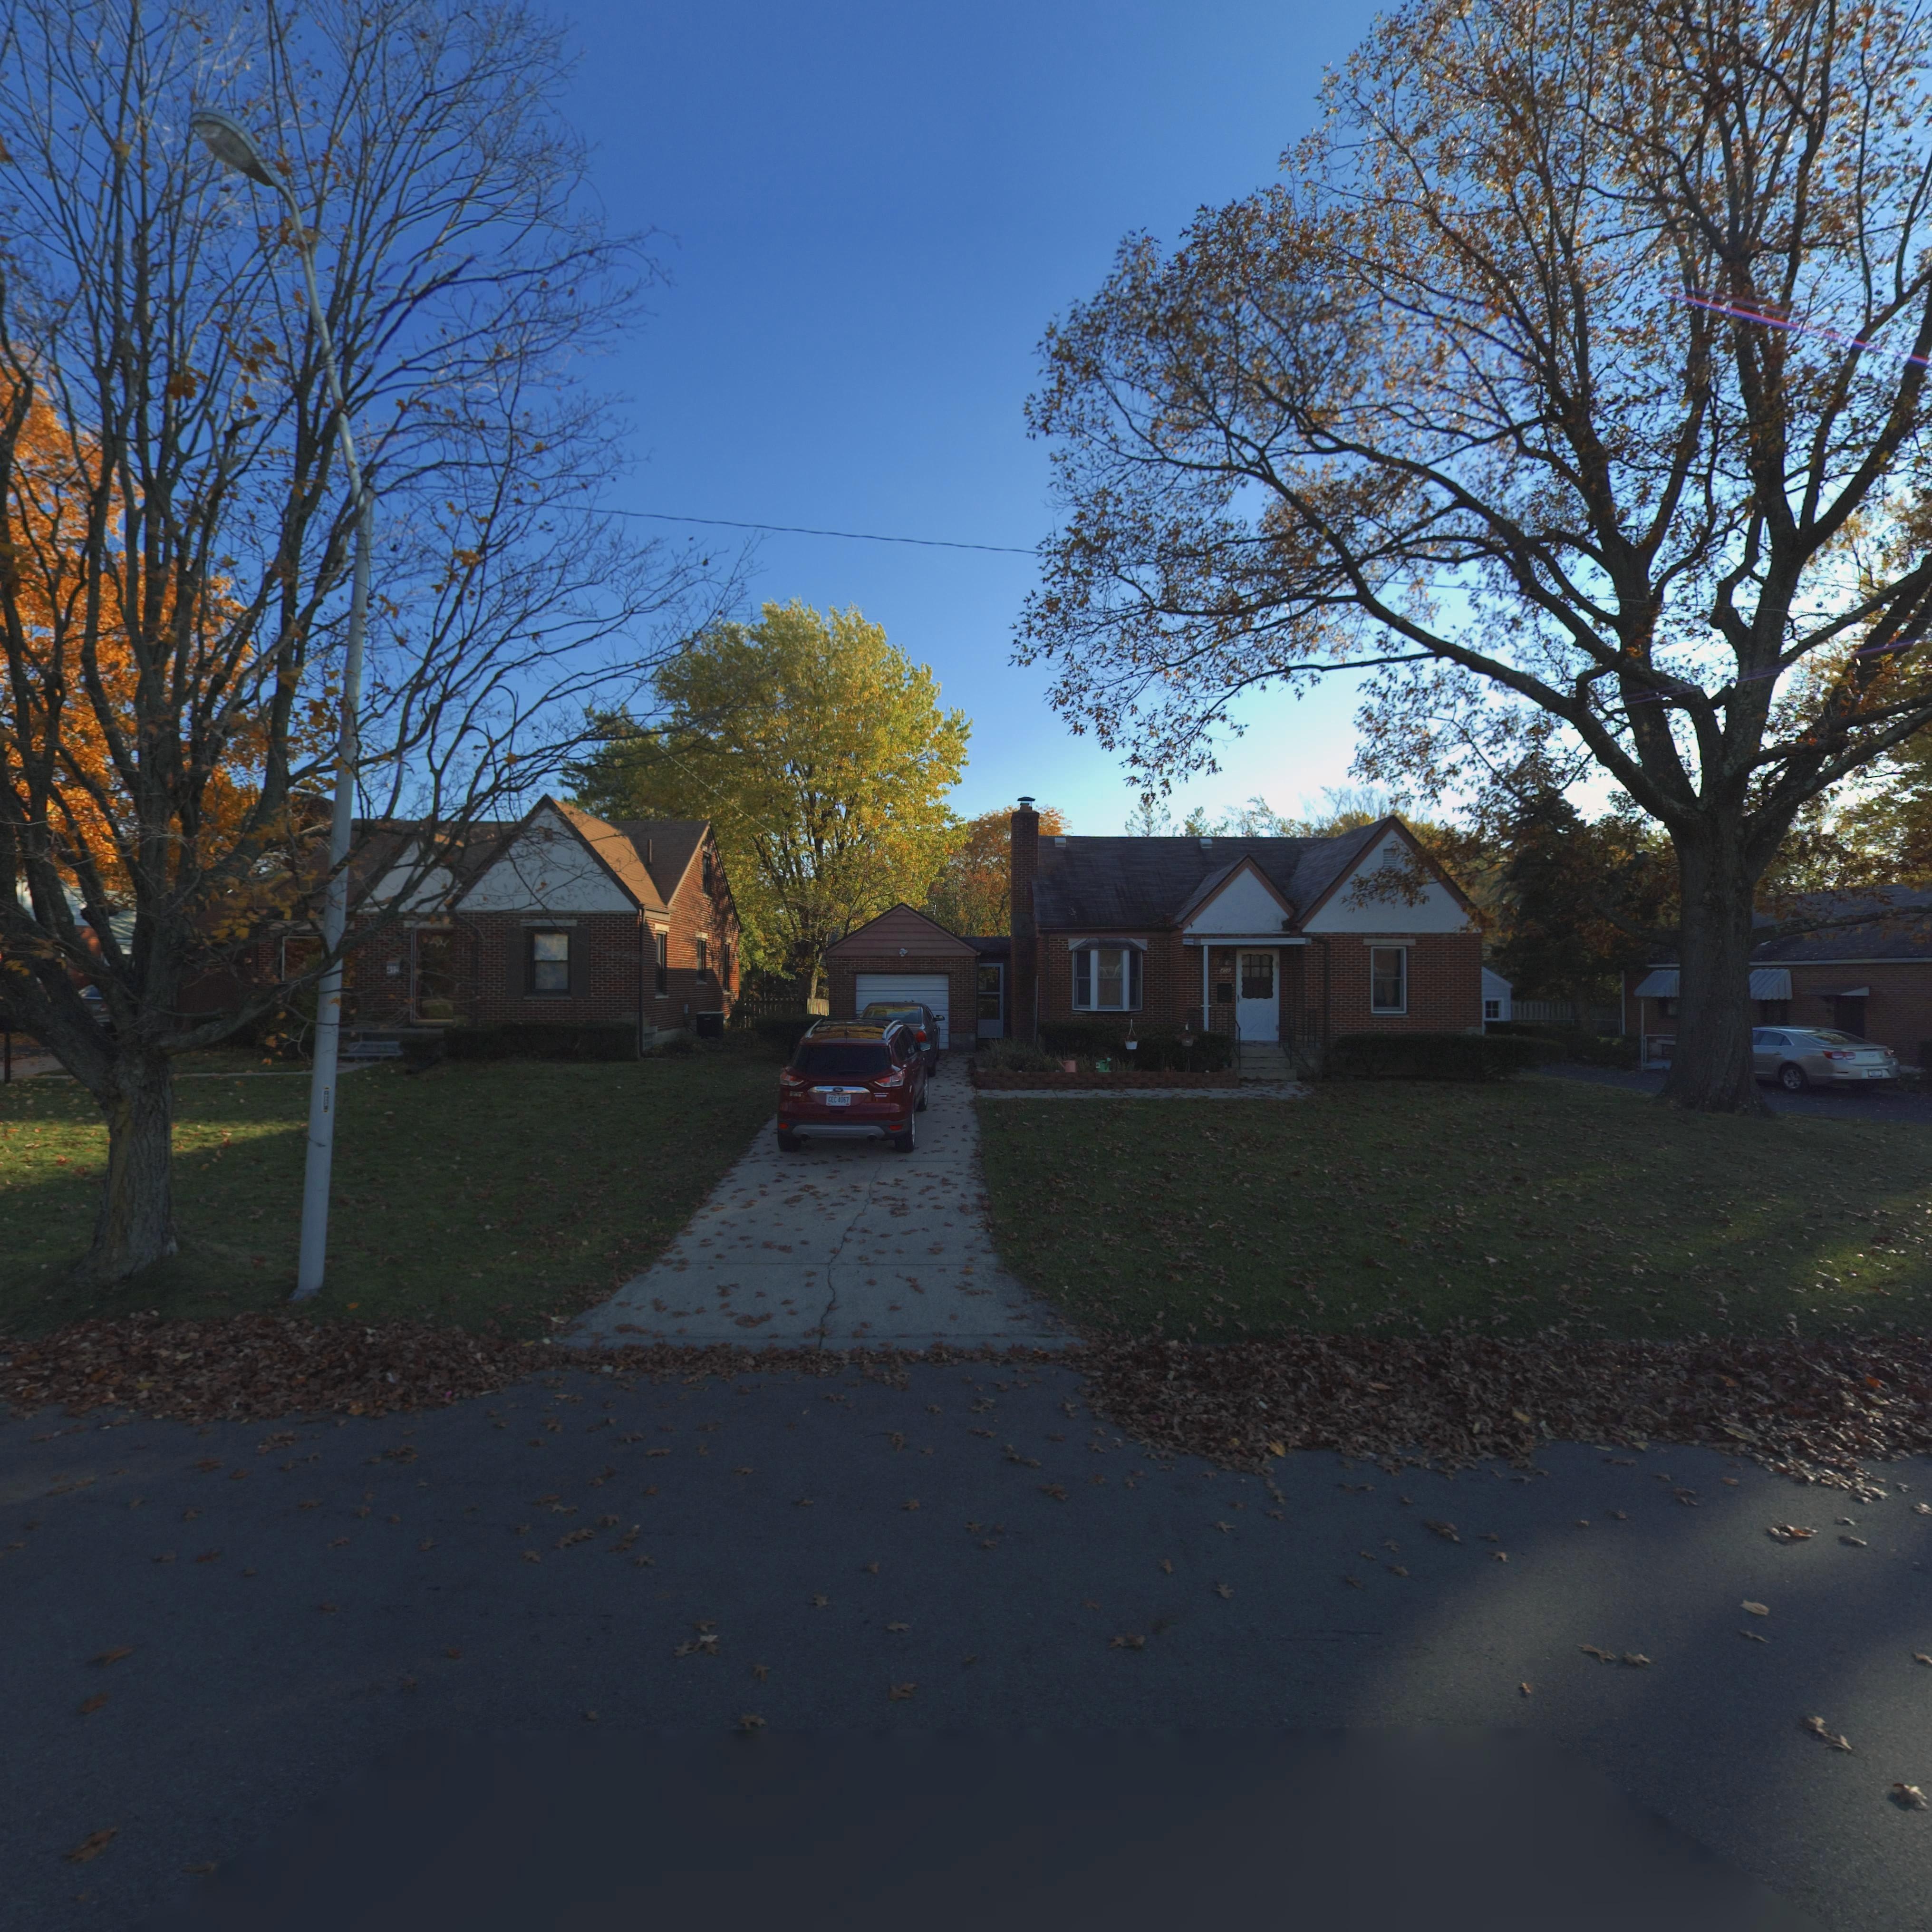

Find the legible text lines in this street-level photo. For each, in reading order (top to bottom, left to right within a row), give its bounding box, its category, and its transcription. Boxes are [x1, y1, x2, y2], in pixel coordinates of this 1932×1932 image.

[385, 965, 399, 973] StreetNumber: 41*